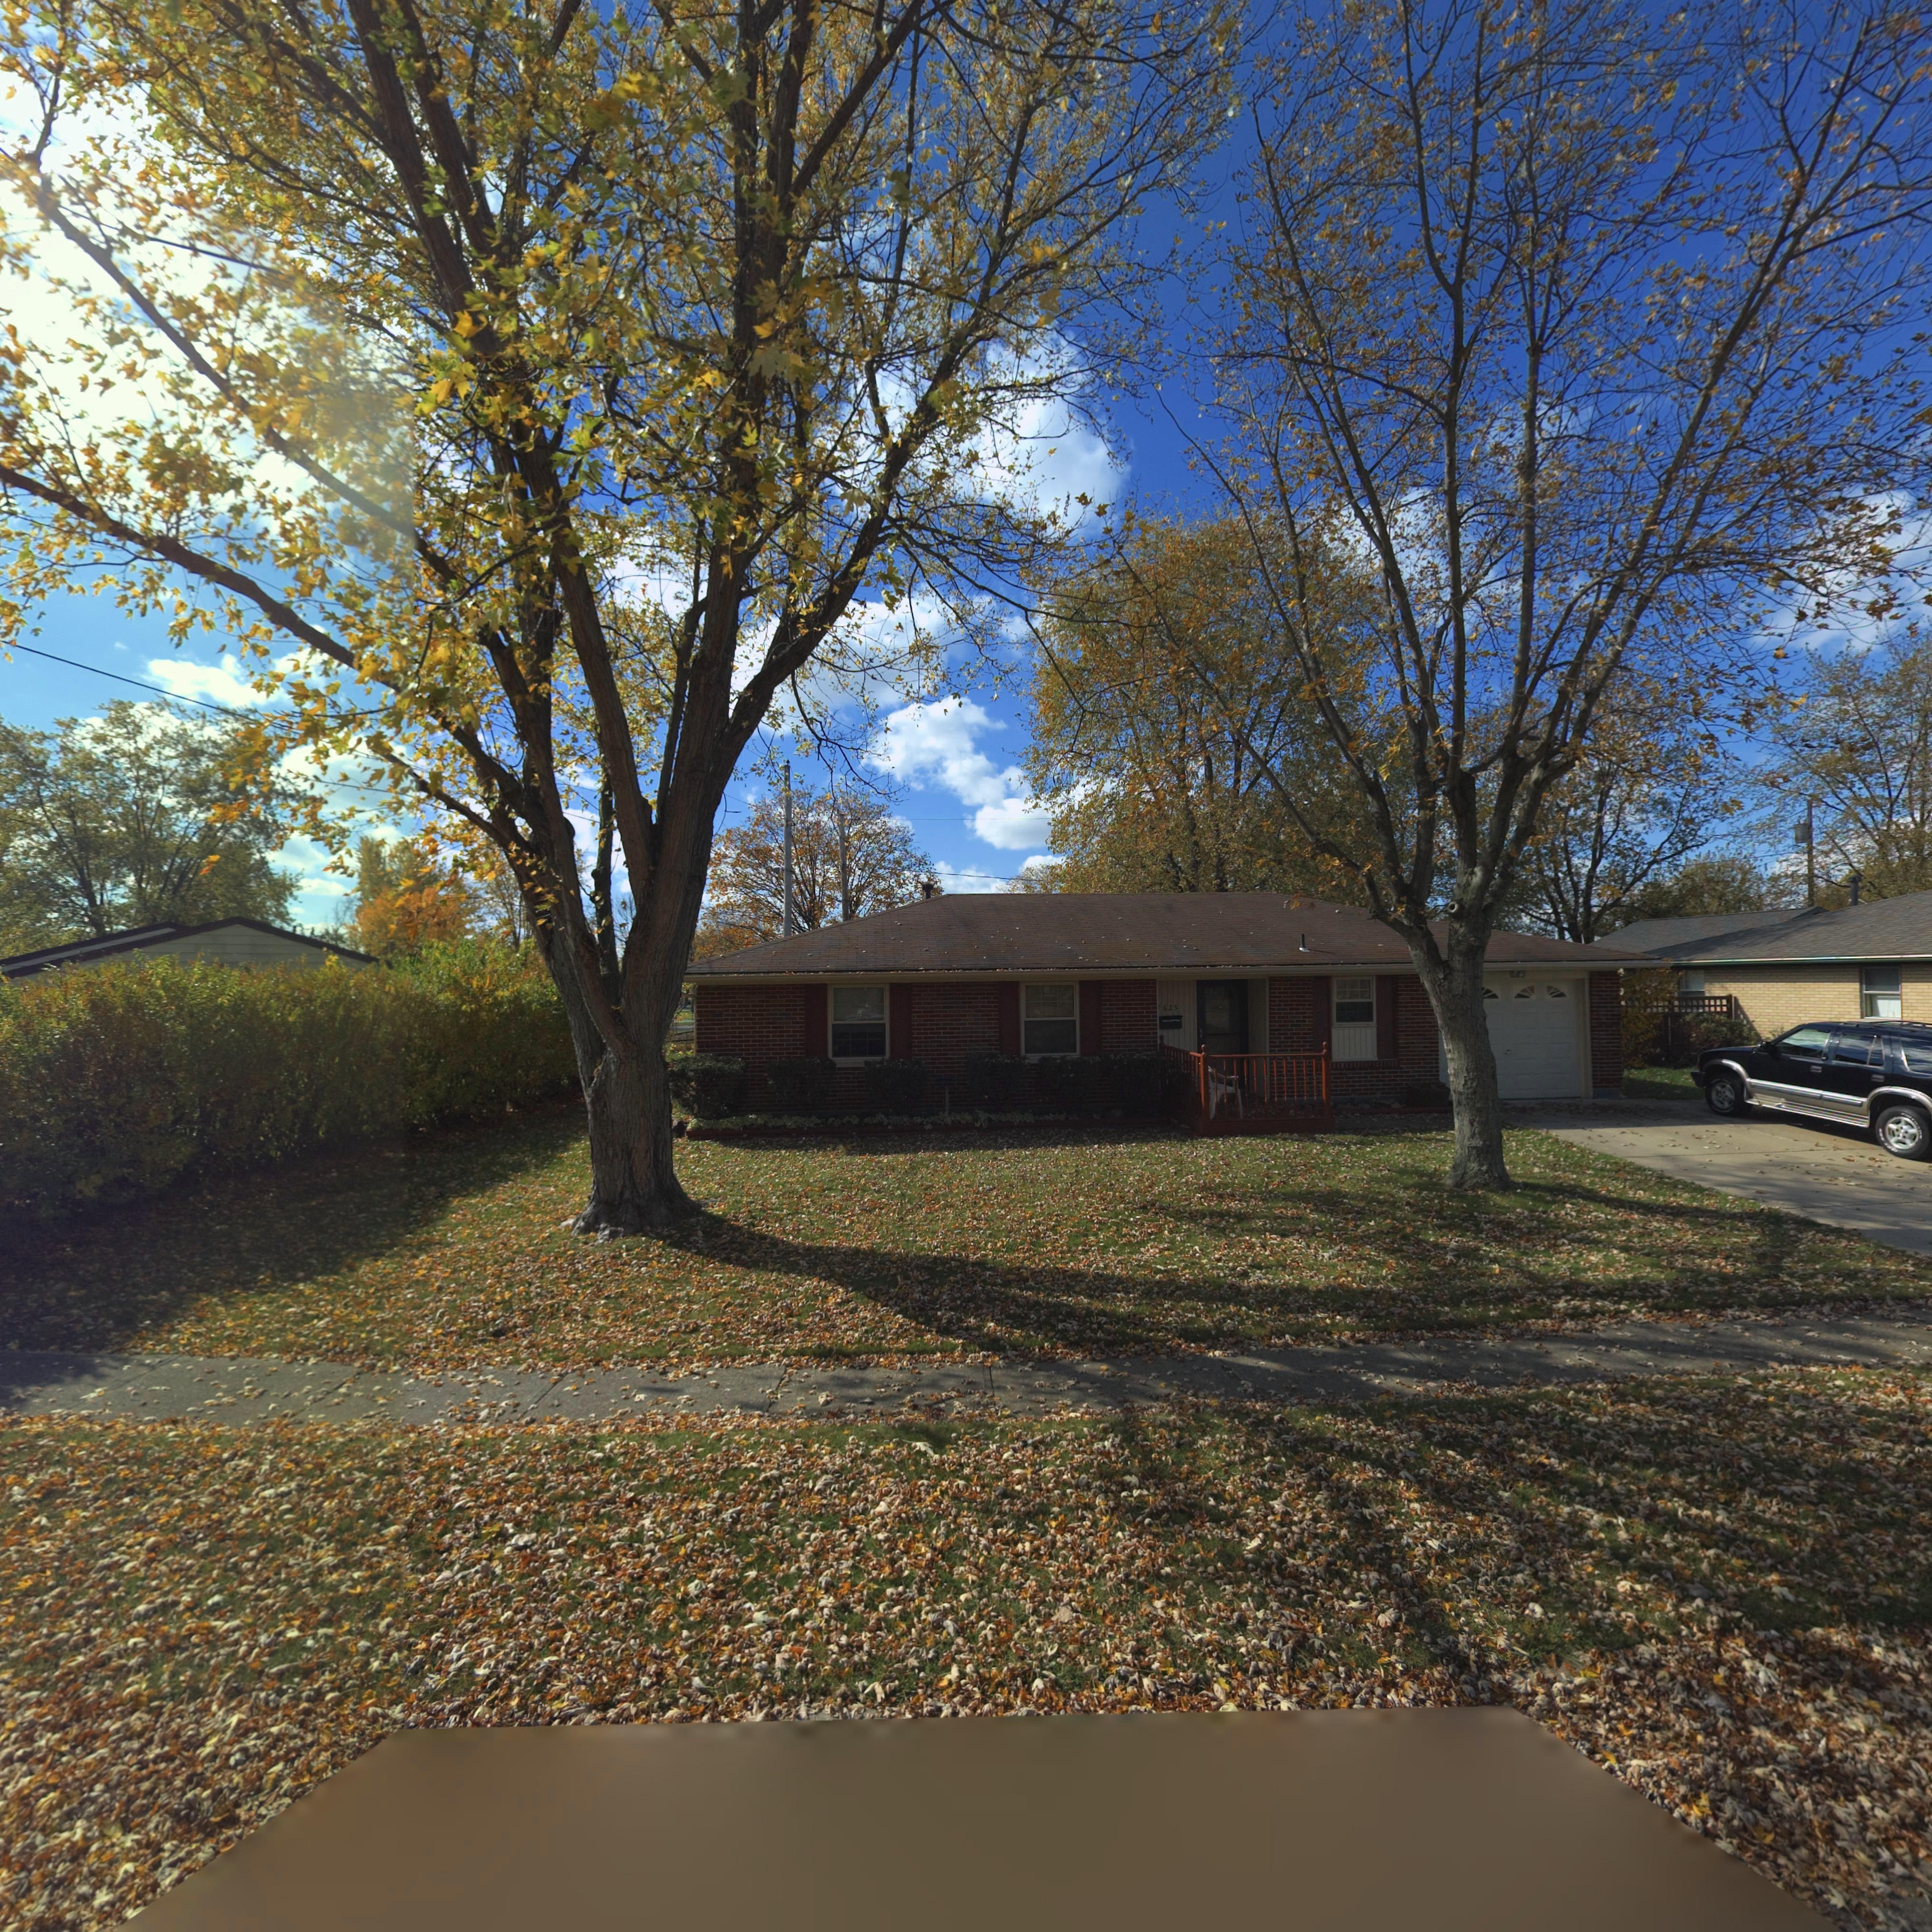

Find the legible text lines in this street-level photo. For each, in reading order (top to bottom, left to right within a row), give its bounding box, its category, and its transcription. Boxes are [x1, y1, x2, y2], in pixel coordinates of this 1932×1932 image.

[1161, 1004, 1179, 1013] StreetNumber: 625